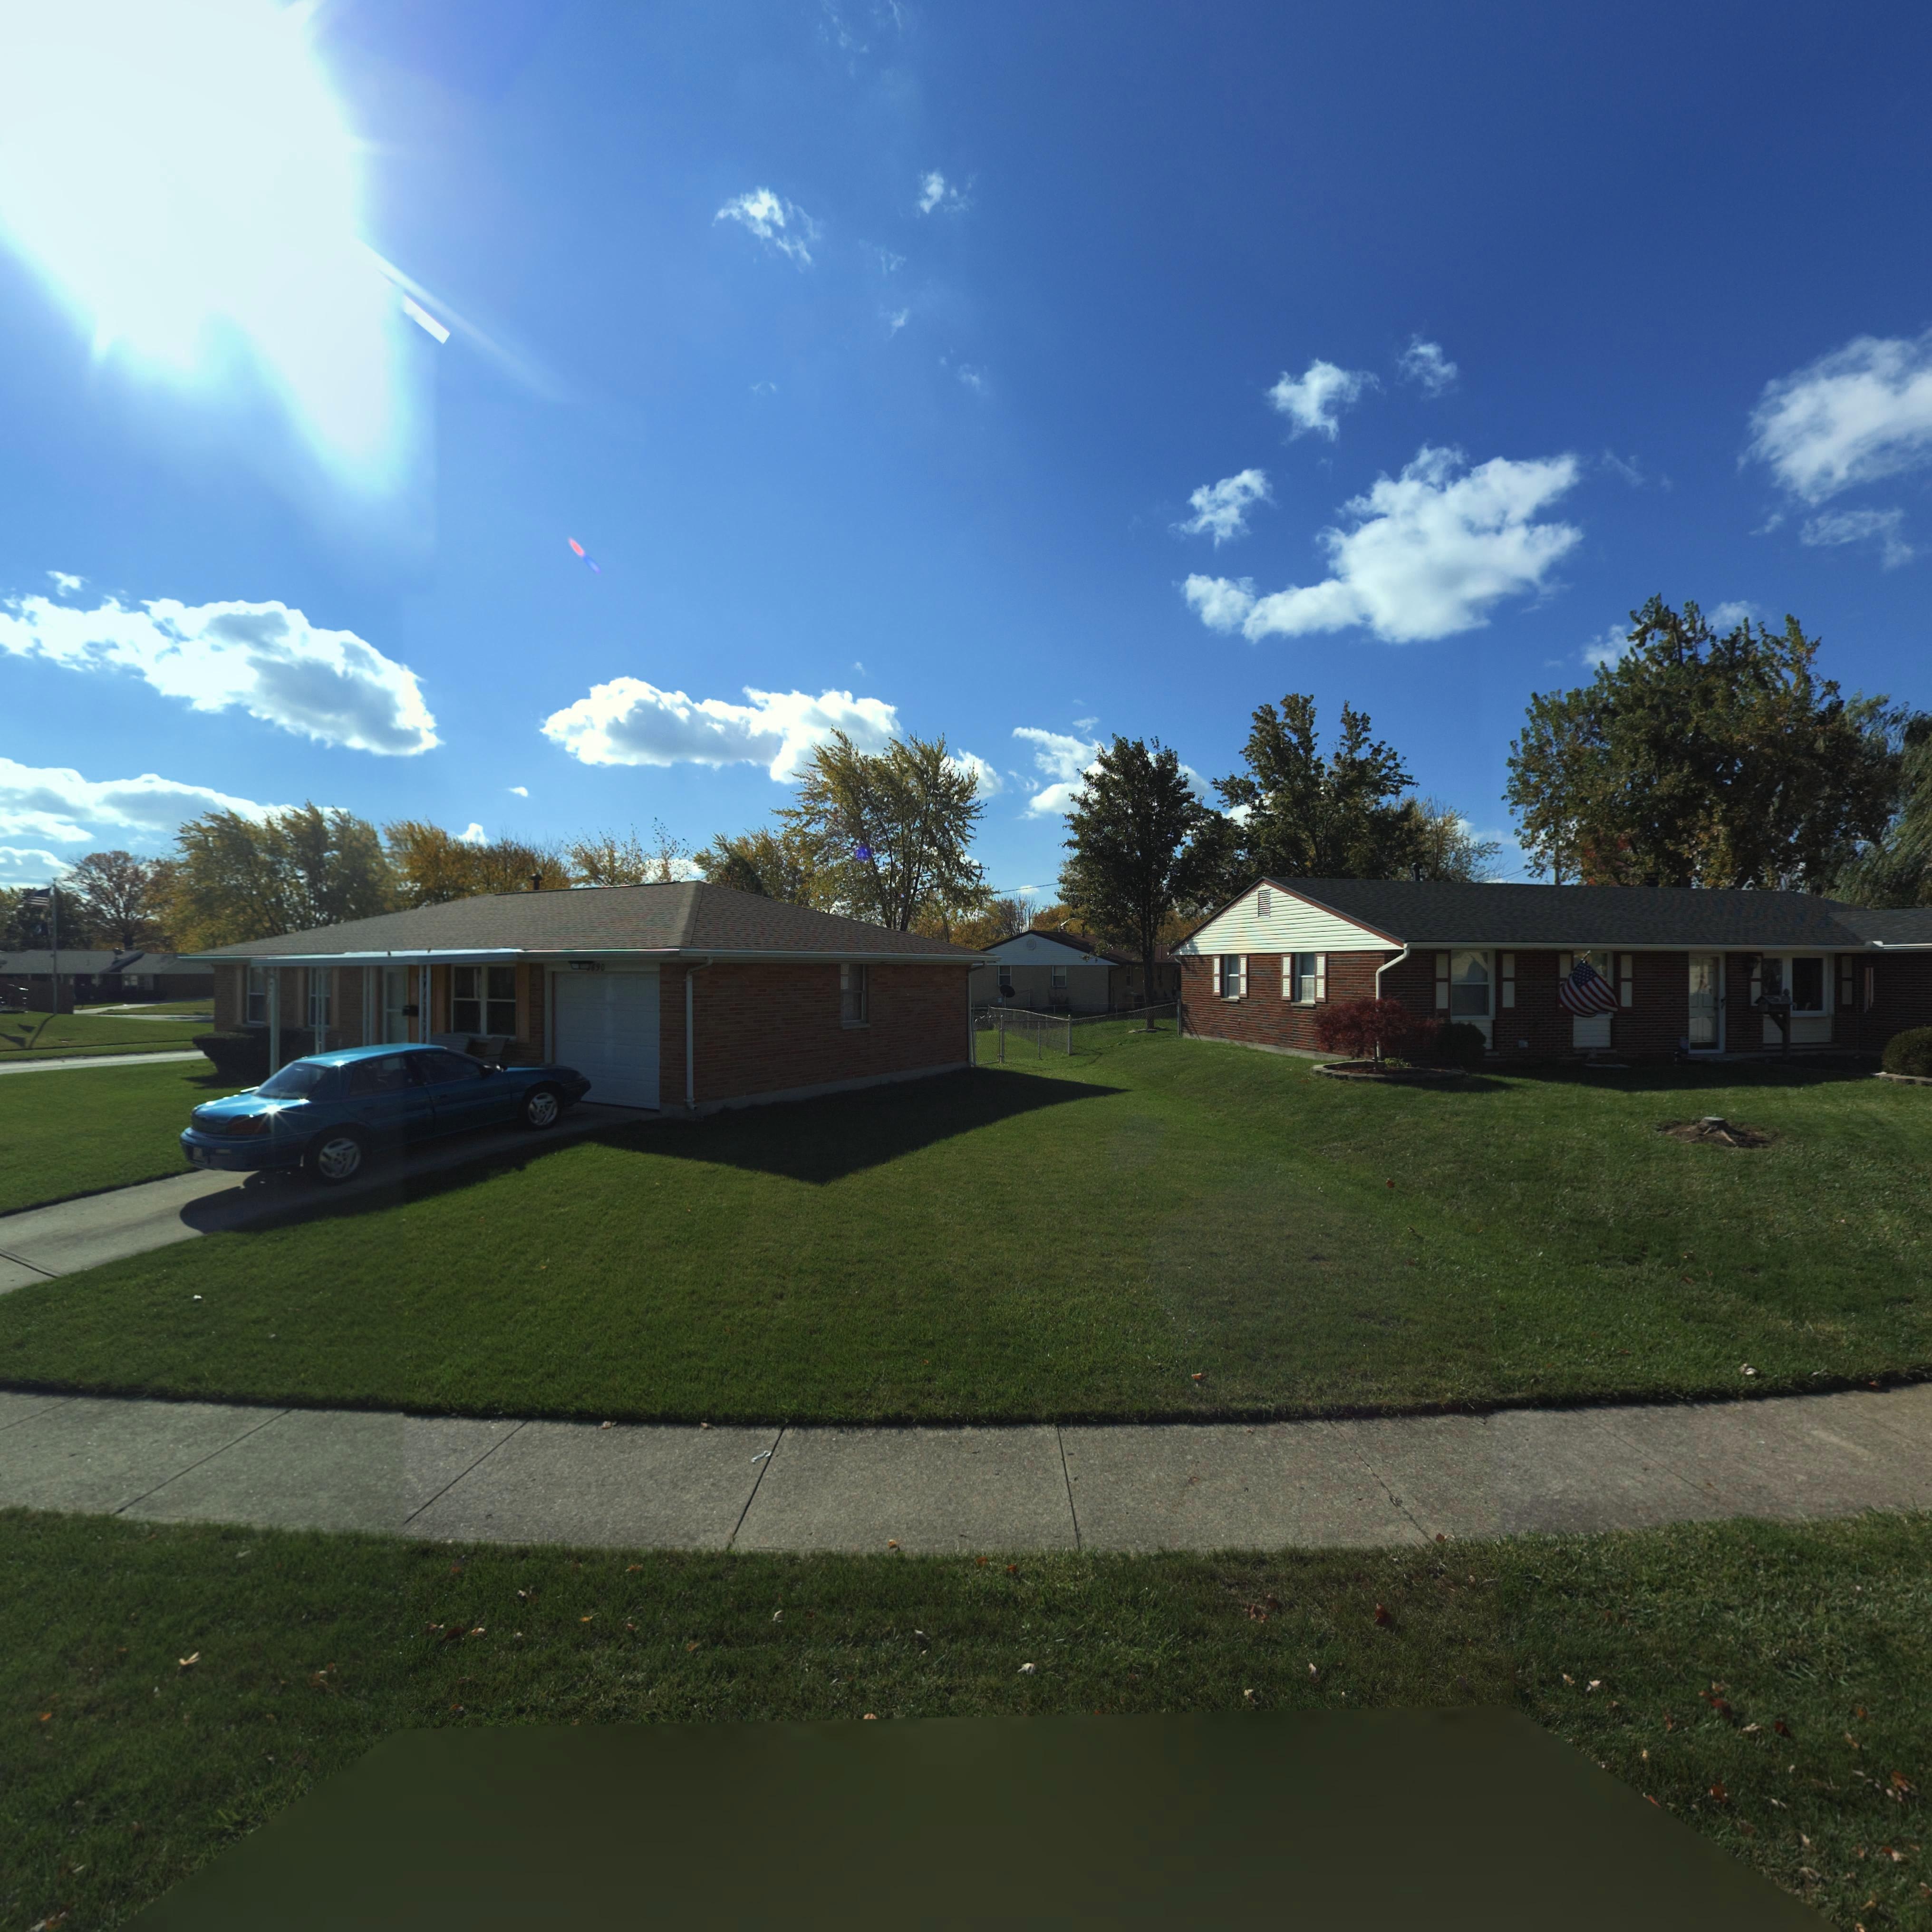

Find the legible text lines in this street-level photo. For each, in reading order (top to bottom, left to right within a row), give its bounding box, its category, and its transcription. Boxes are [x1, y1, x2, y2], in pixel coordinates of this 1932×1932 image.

[589, 963, 606, 972] StreetNumber: 690